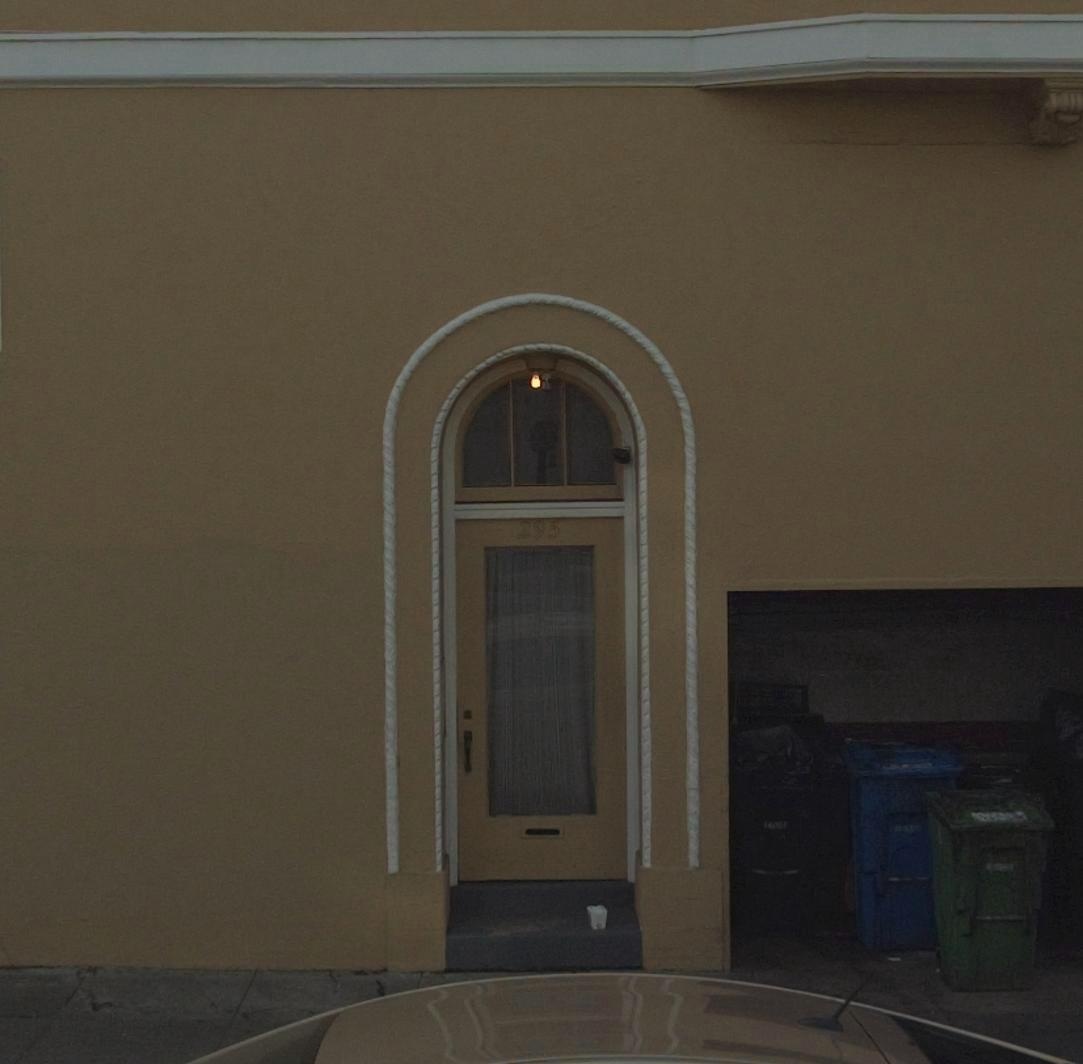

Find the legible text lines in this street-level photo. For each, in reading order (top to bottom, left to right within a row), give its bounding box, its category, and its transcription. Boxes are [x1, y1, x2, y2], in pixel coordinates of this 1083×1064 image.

[515, 519, 561, 540] StreetNumber: 295